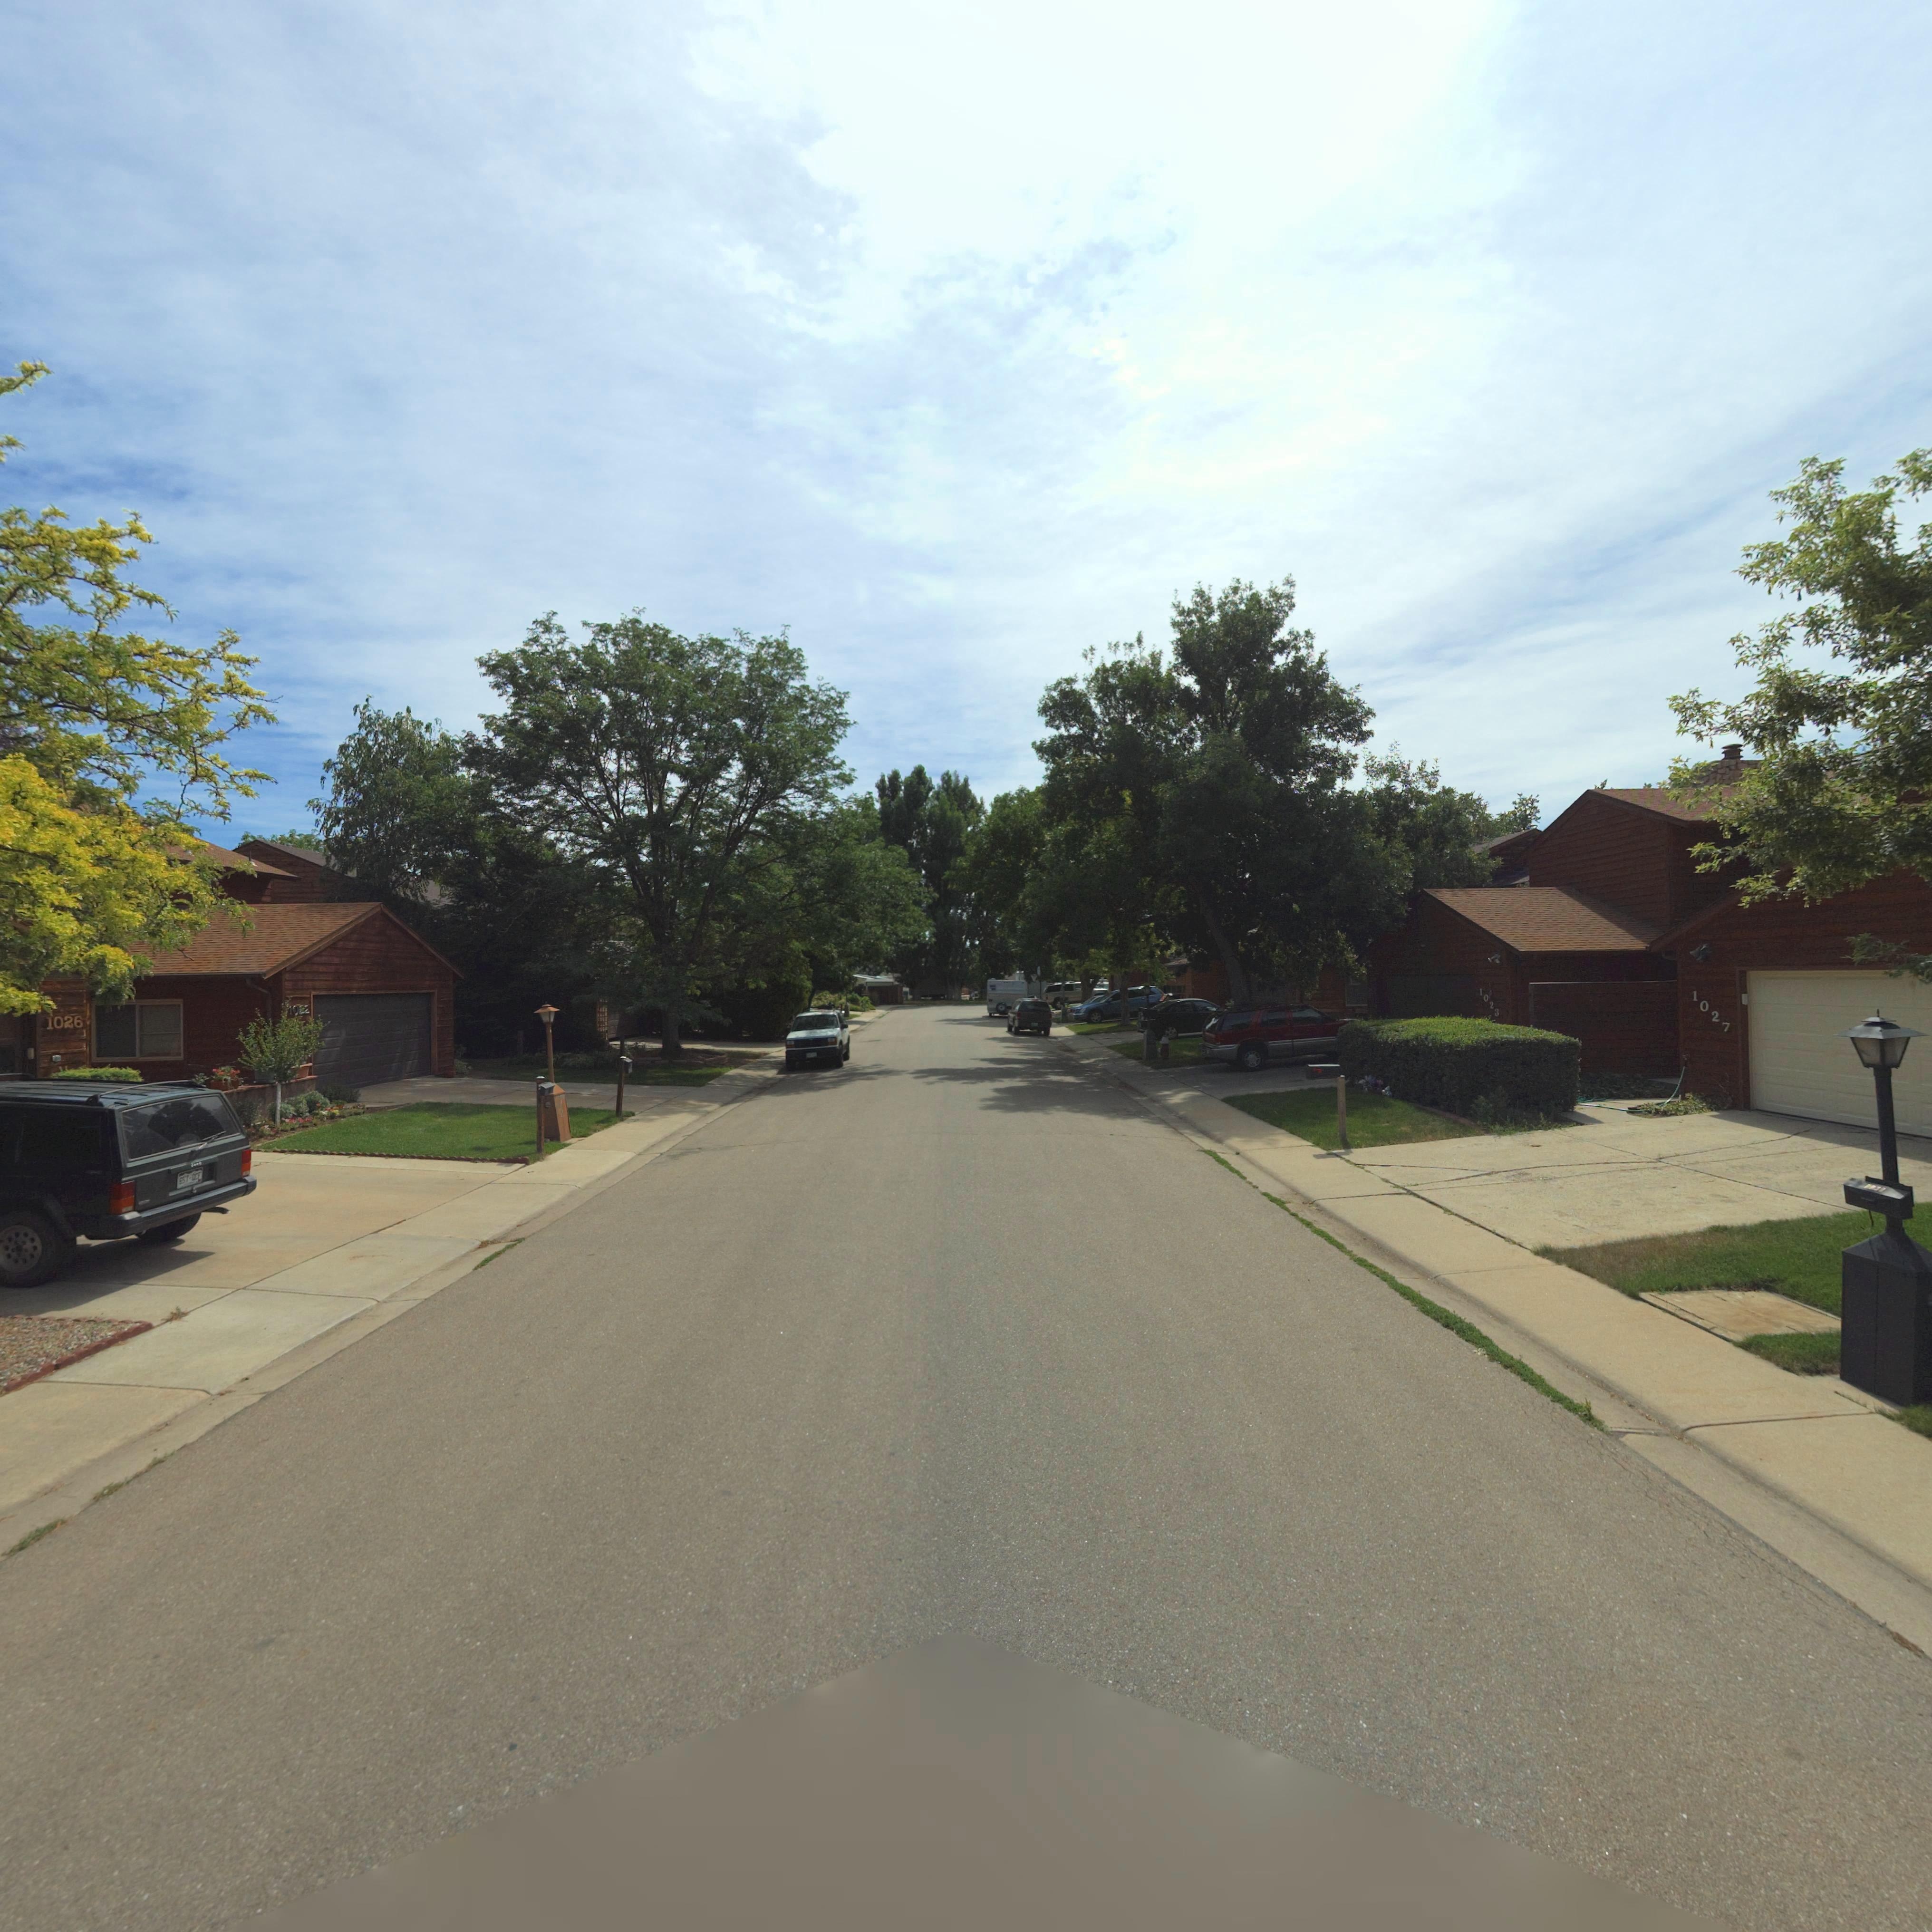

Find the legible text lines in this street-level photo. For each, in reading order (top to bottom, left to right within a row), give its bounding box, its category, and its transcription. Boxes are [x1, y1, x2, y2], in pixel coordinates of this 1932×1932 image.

[46, 1015, 83, 1030] StreetNumber: 1026
[289, 1005, 310, 1015] StreetNumber: 1022
[1479, 988, 1499, 1017] StreetNumber: 1023
[1692, 990, 1730, 1032] StreetNumber: 1027